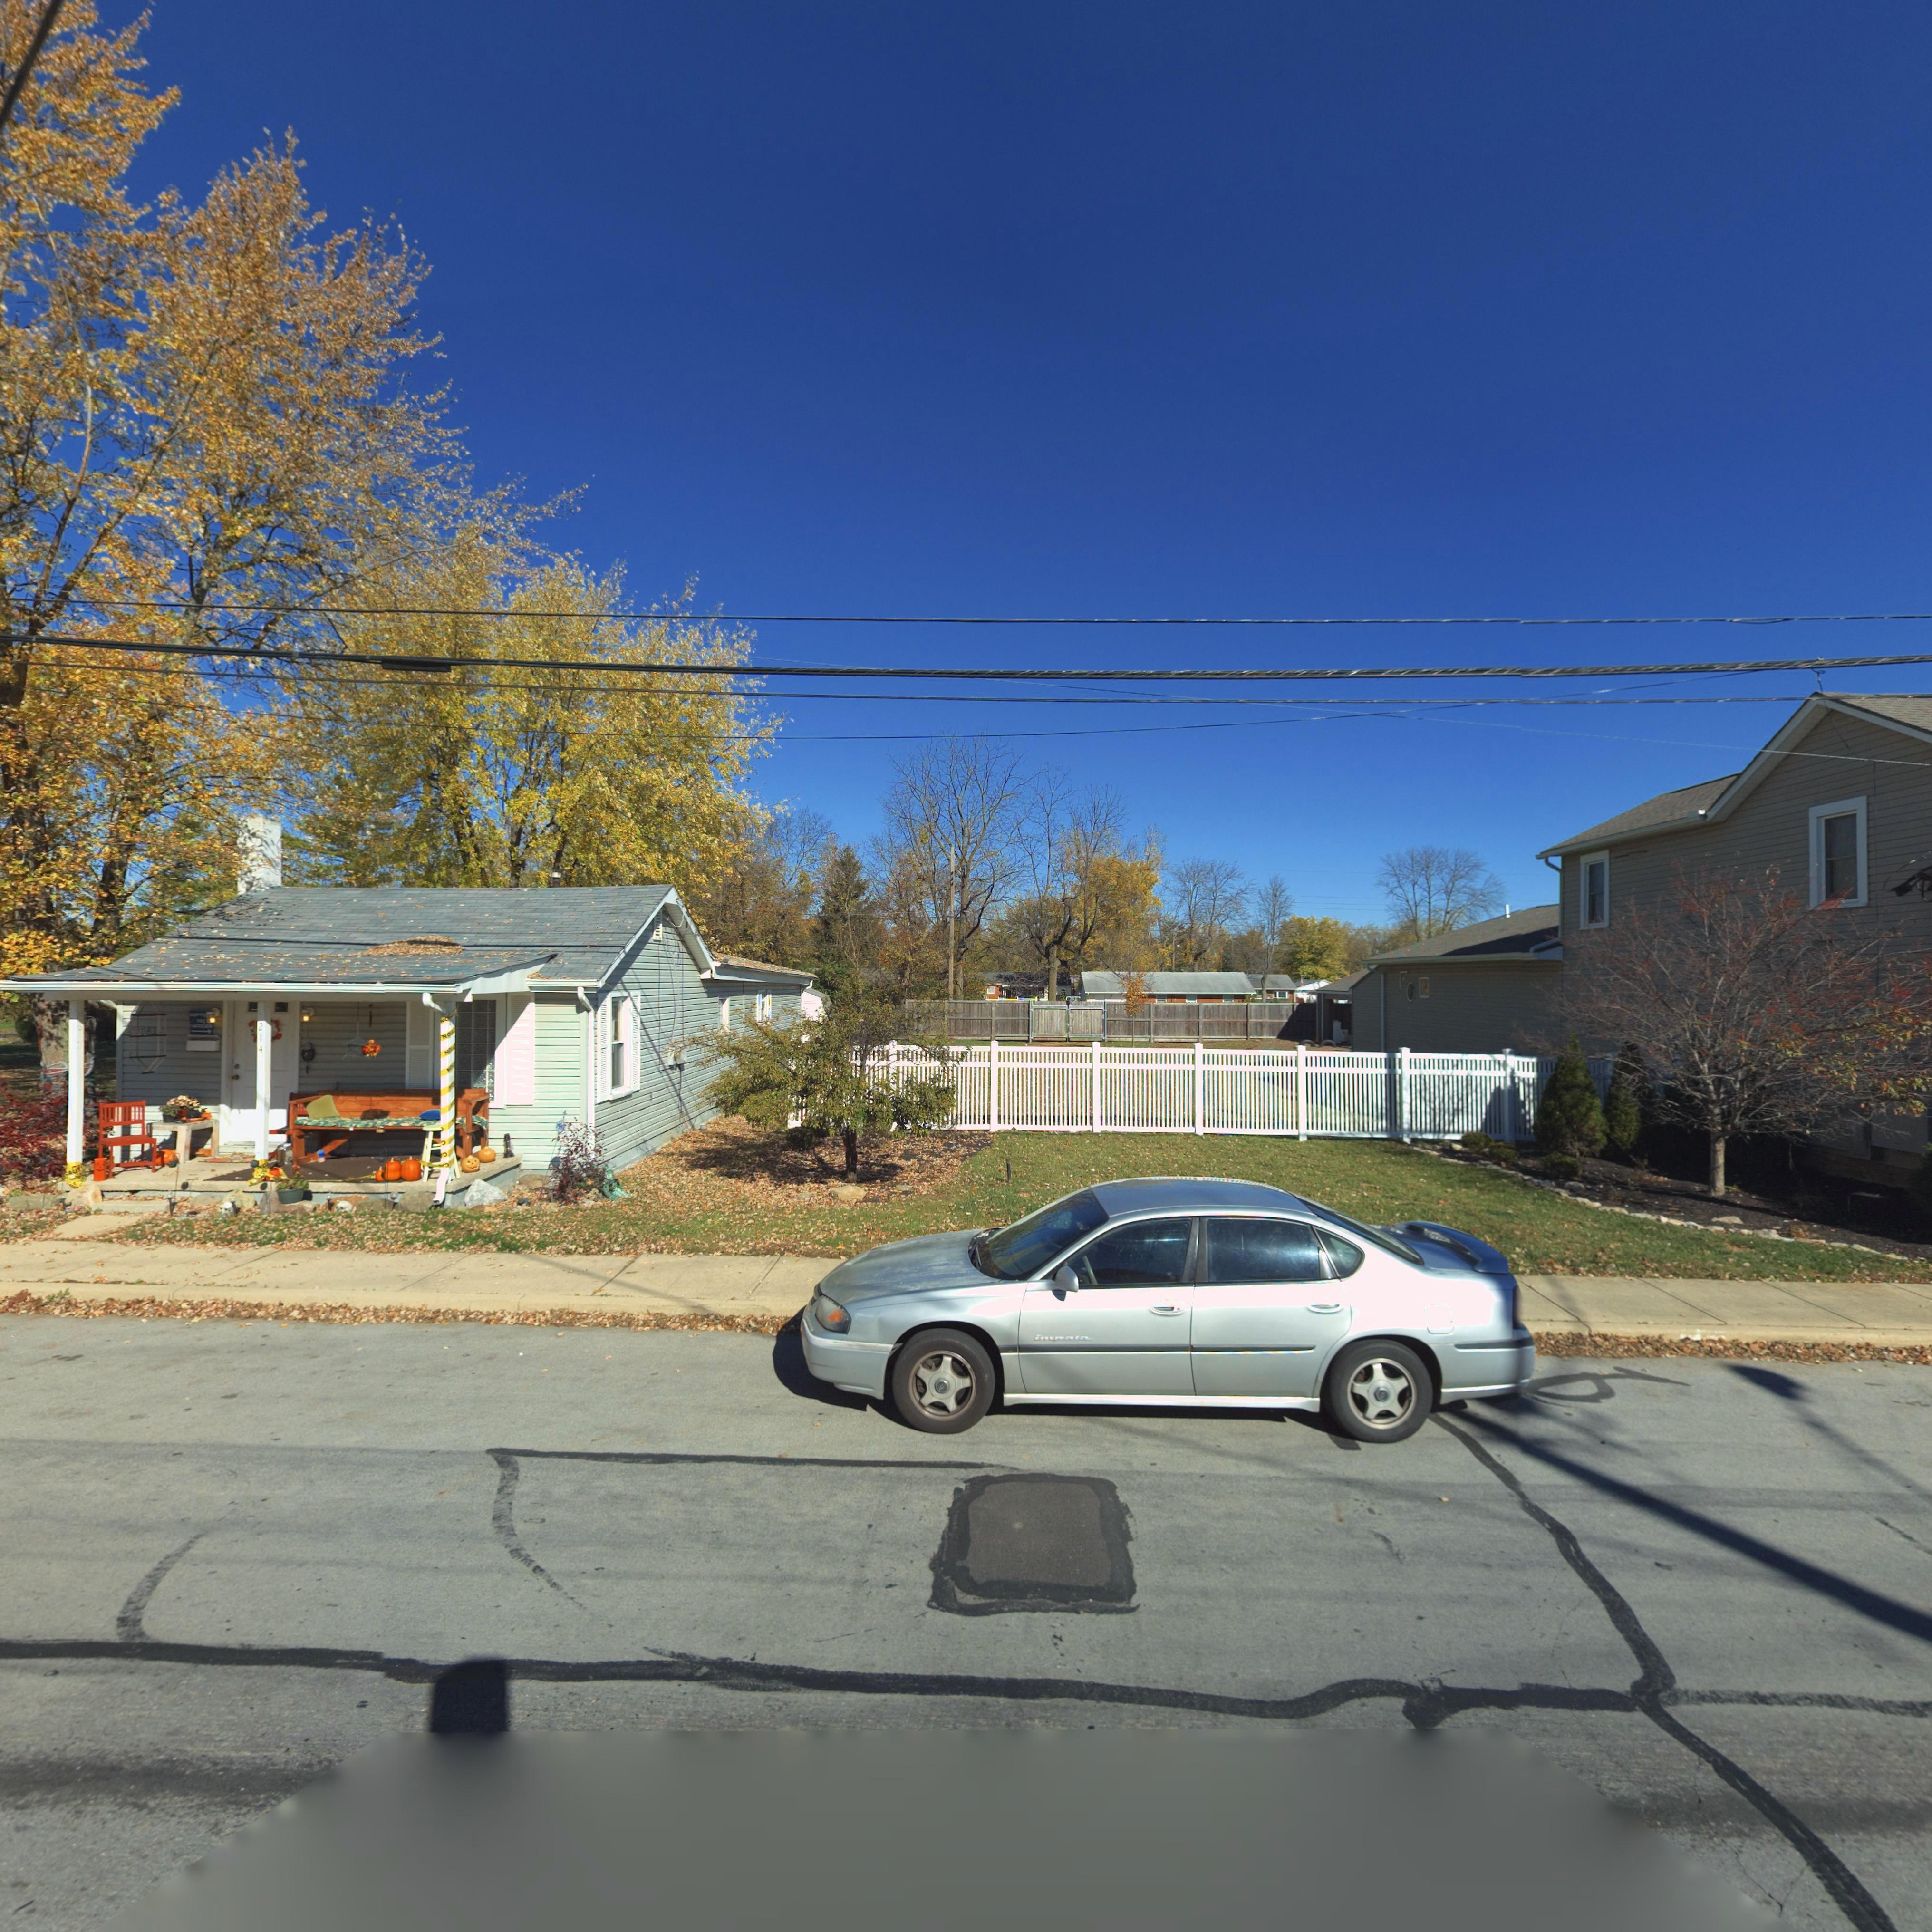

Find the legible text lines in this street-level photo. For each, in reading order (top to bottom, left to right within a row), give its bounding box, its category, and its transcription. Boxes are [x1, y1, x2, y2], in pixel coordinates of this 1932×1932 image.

[258, 1022, 263, 1053] StreetNumber: 214
[1032, 1334, 1095, 1342] None: impala